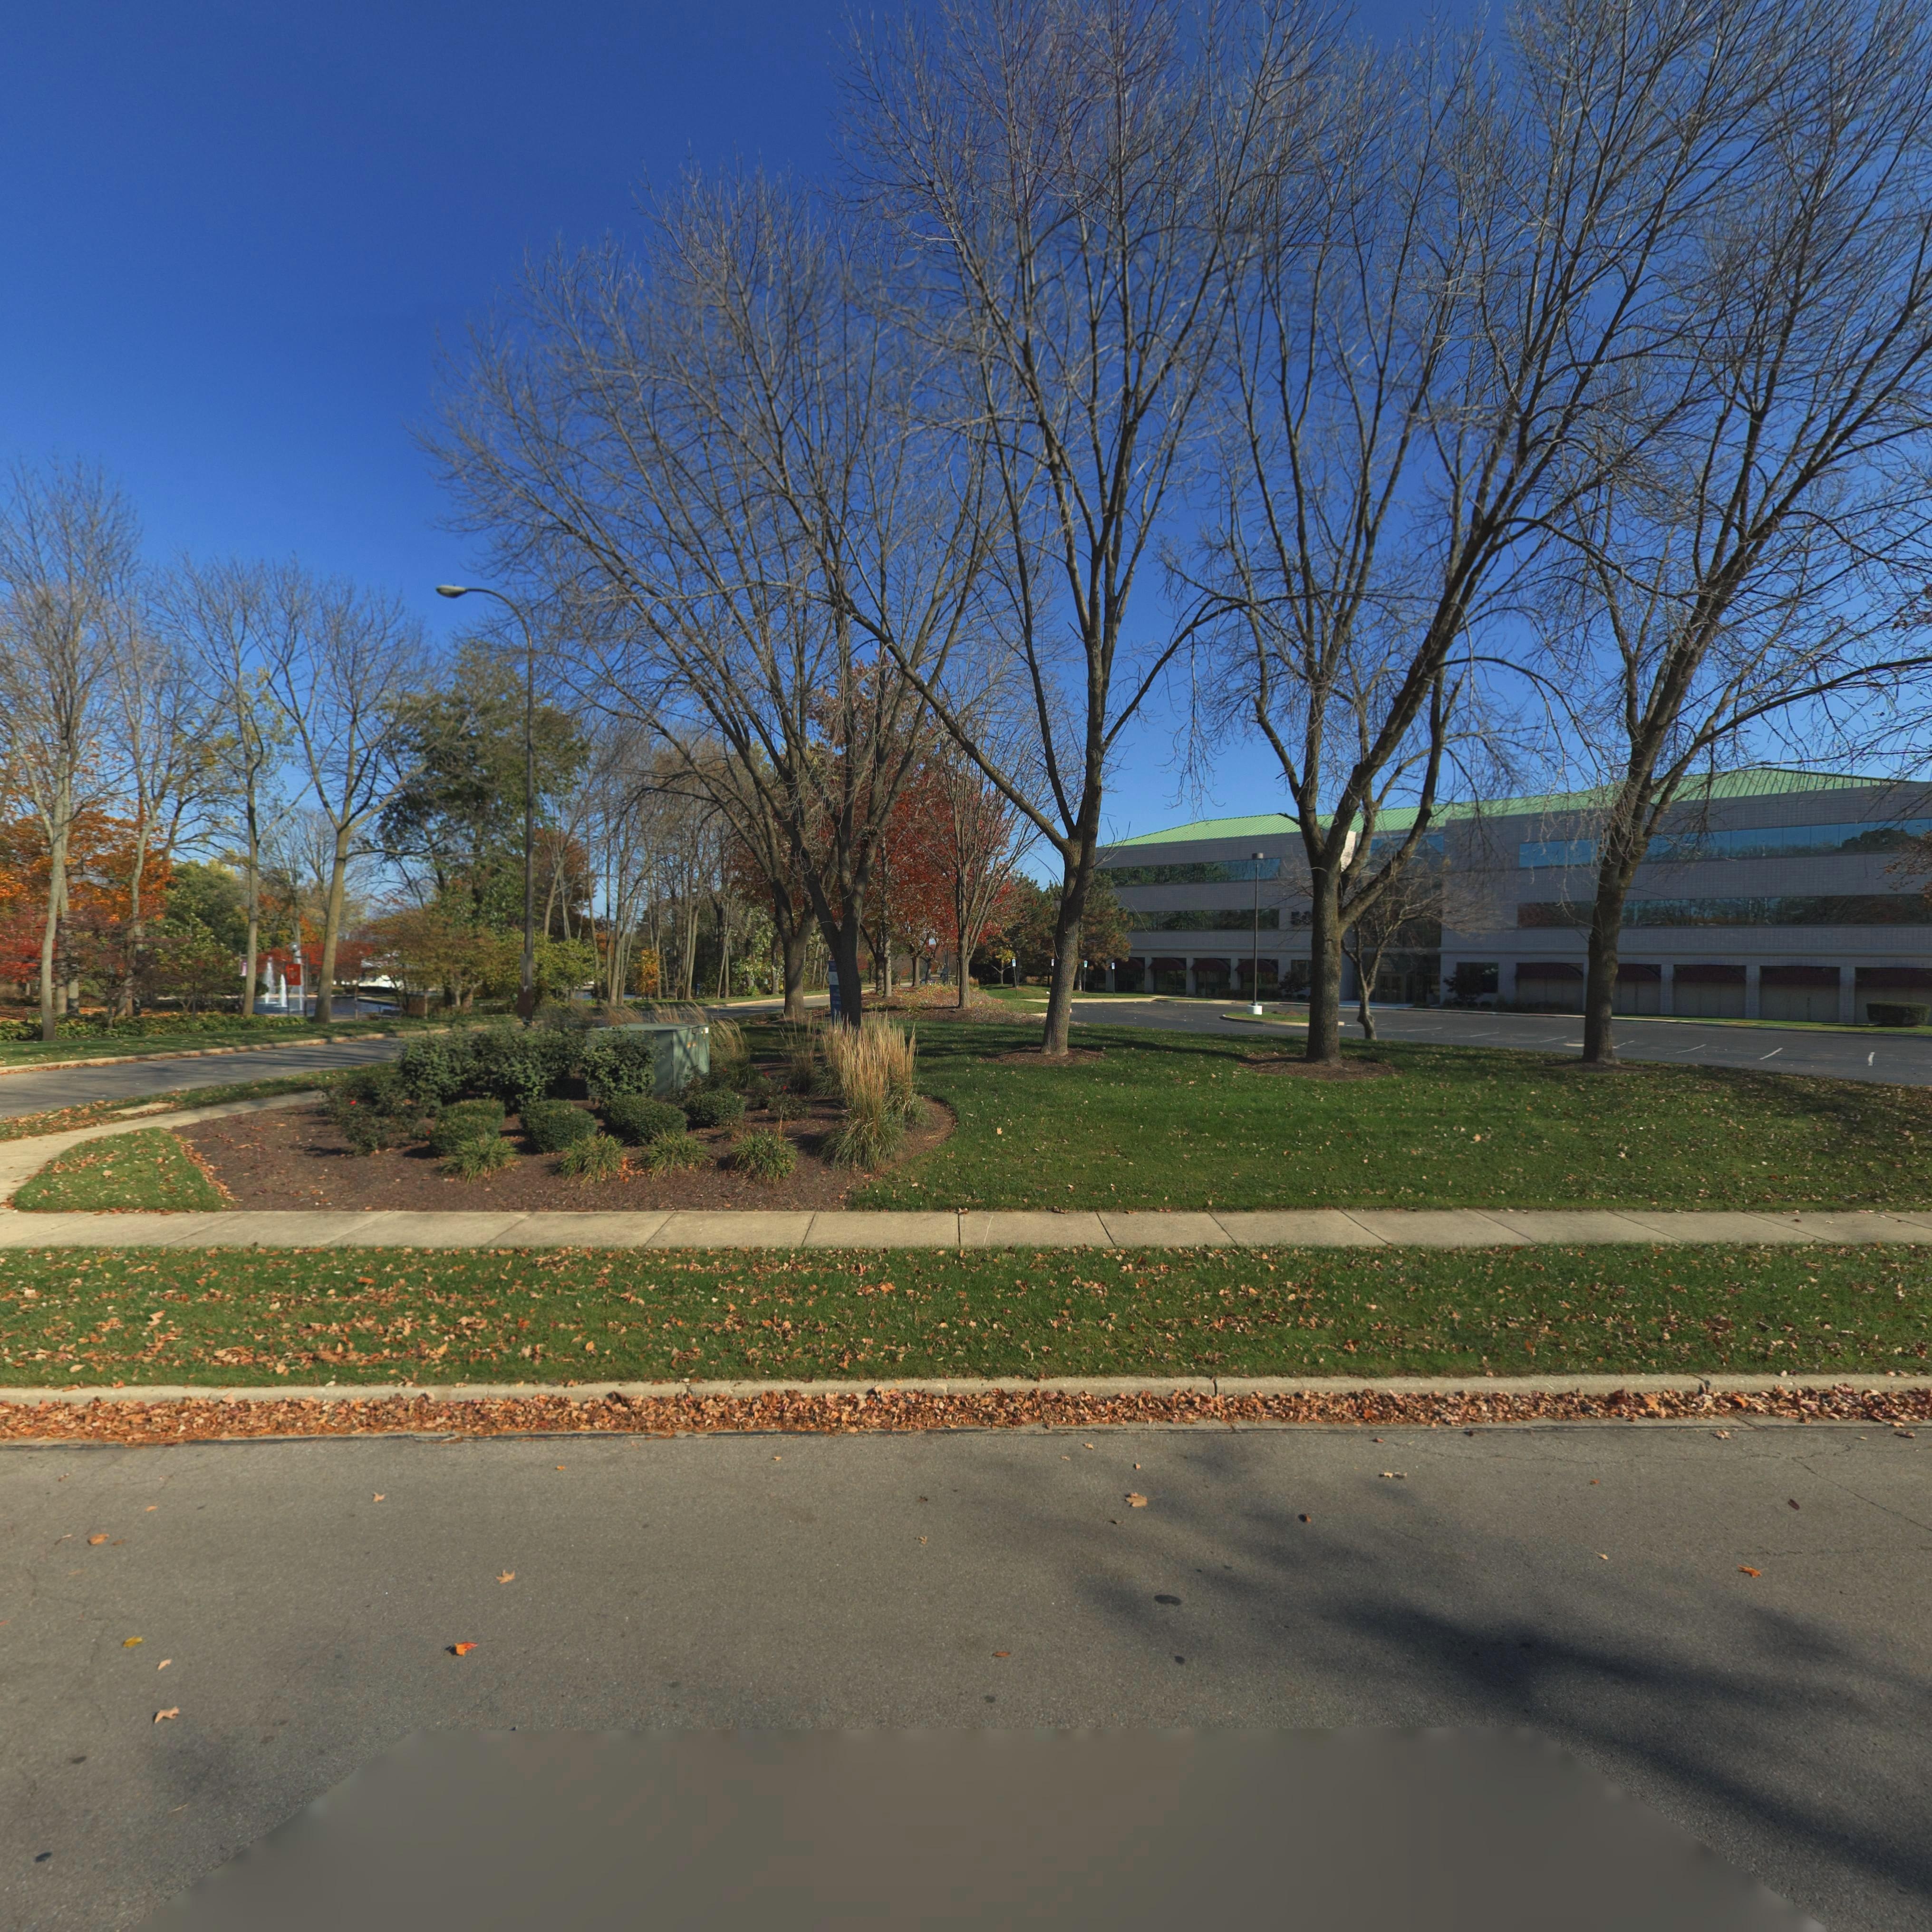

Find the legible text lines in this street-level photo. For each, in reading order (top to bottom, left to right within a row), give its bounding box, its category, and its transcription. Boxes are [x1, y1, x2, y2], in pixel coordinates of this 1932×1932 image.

[1290, 910, 1312, 926] StreetNumber: 50